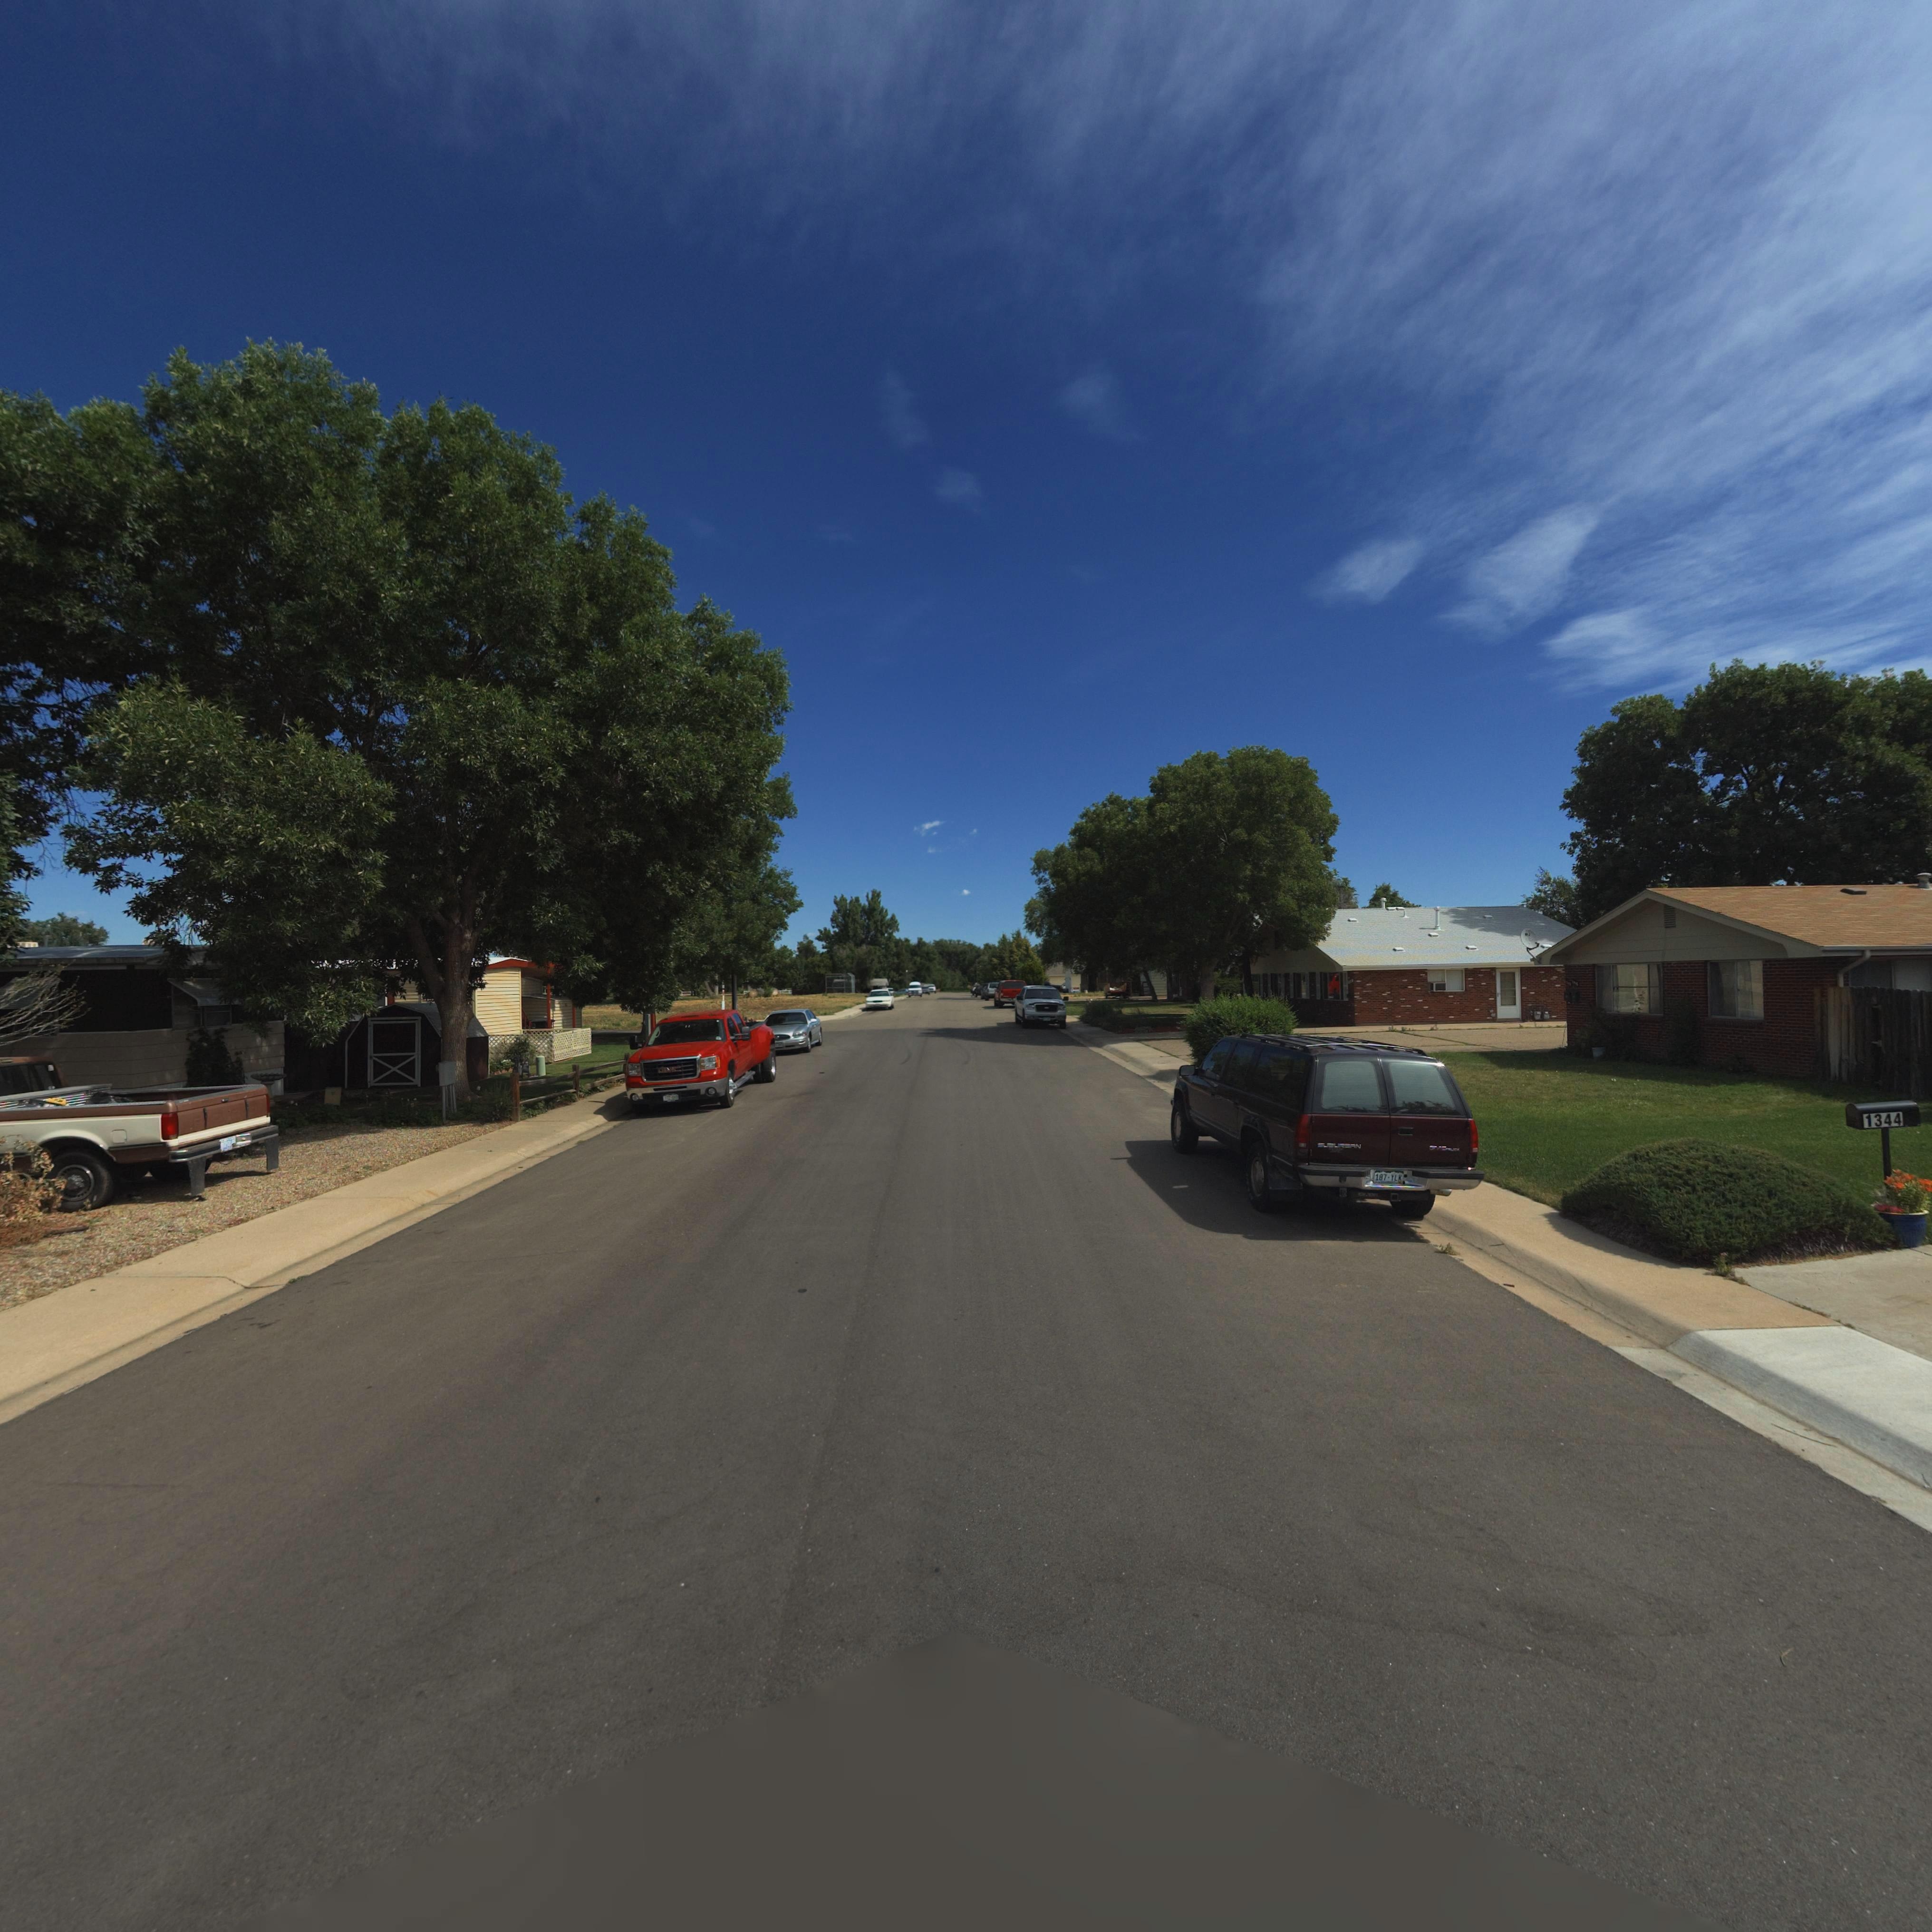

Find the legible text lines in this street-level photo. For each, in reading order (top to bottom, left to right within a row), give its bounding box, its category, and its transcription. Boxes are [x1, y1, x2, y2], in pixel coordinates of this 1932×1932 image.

[1864, 1111, 1903, 1128] StreetNumber: 1344